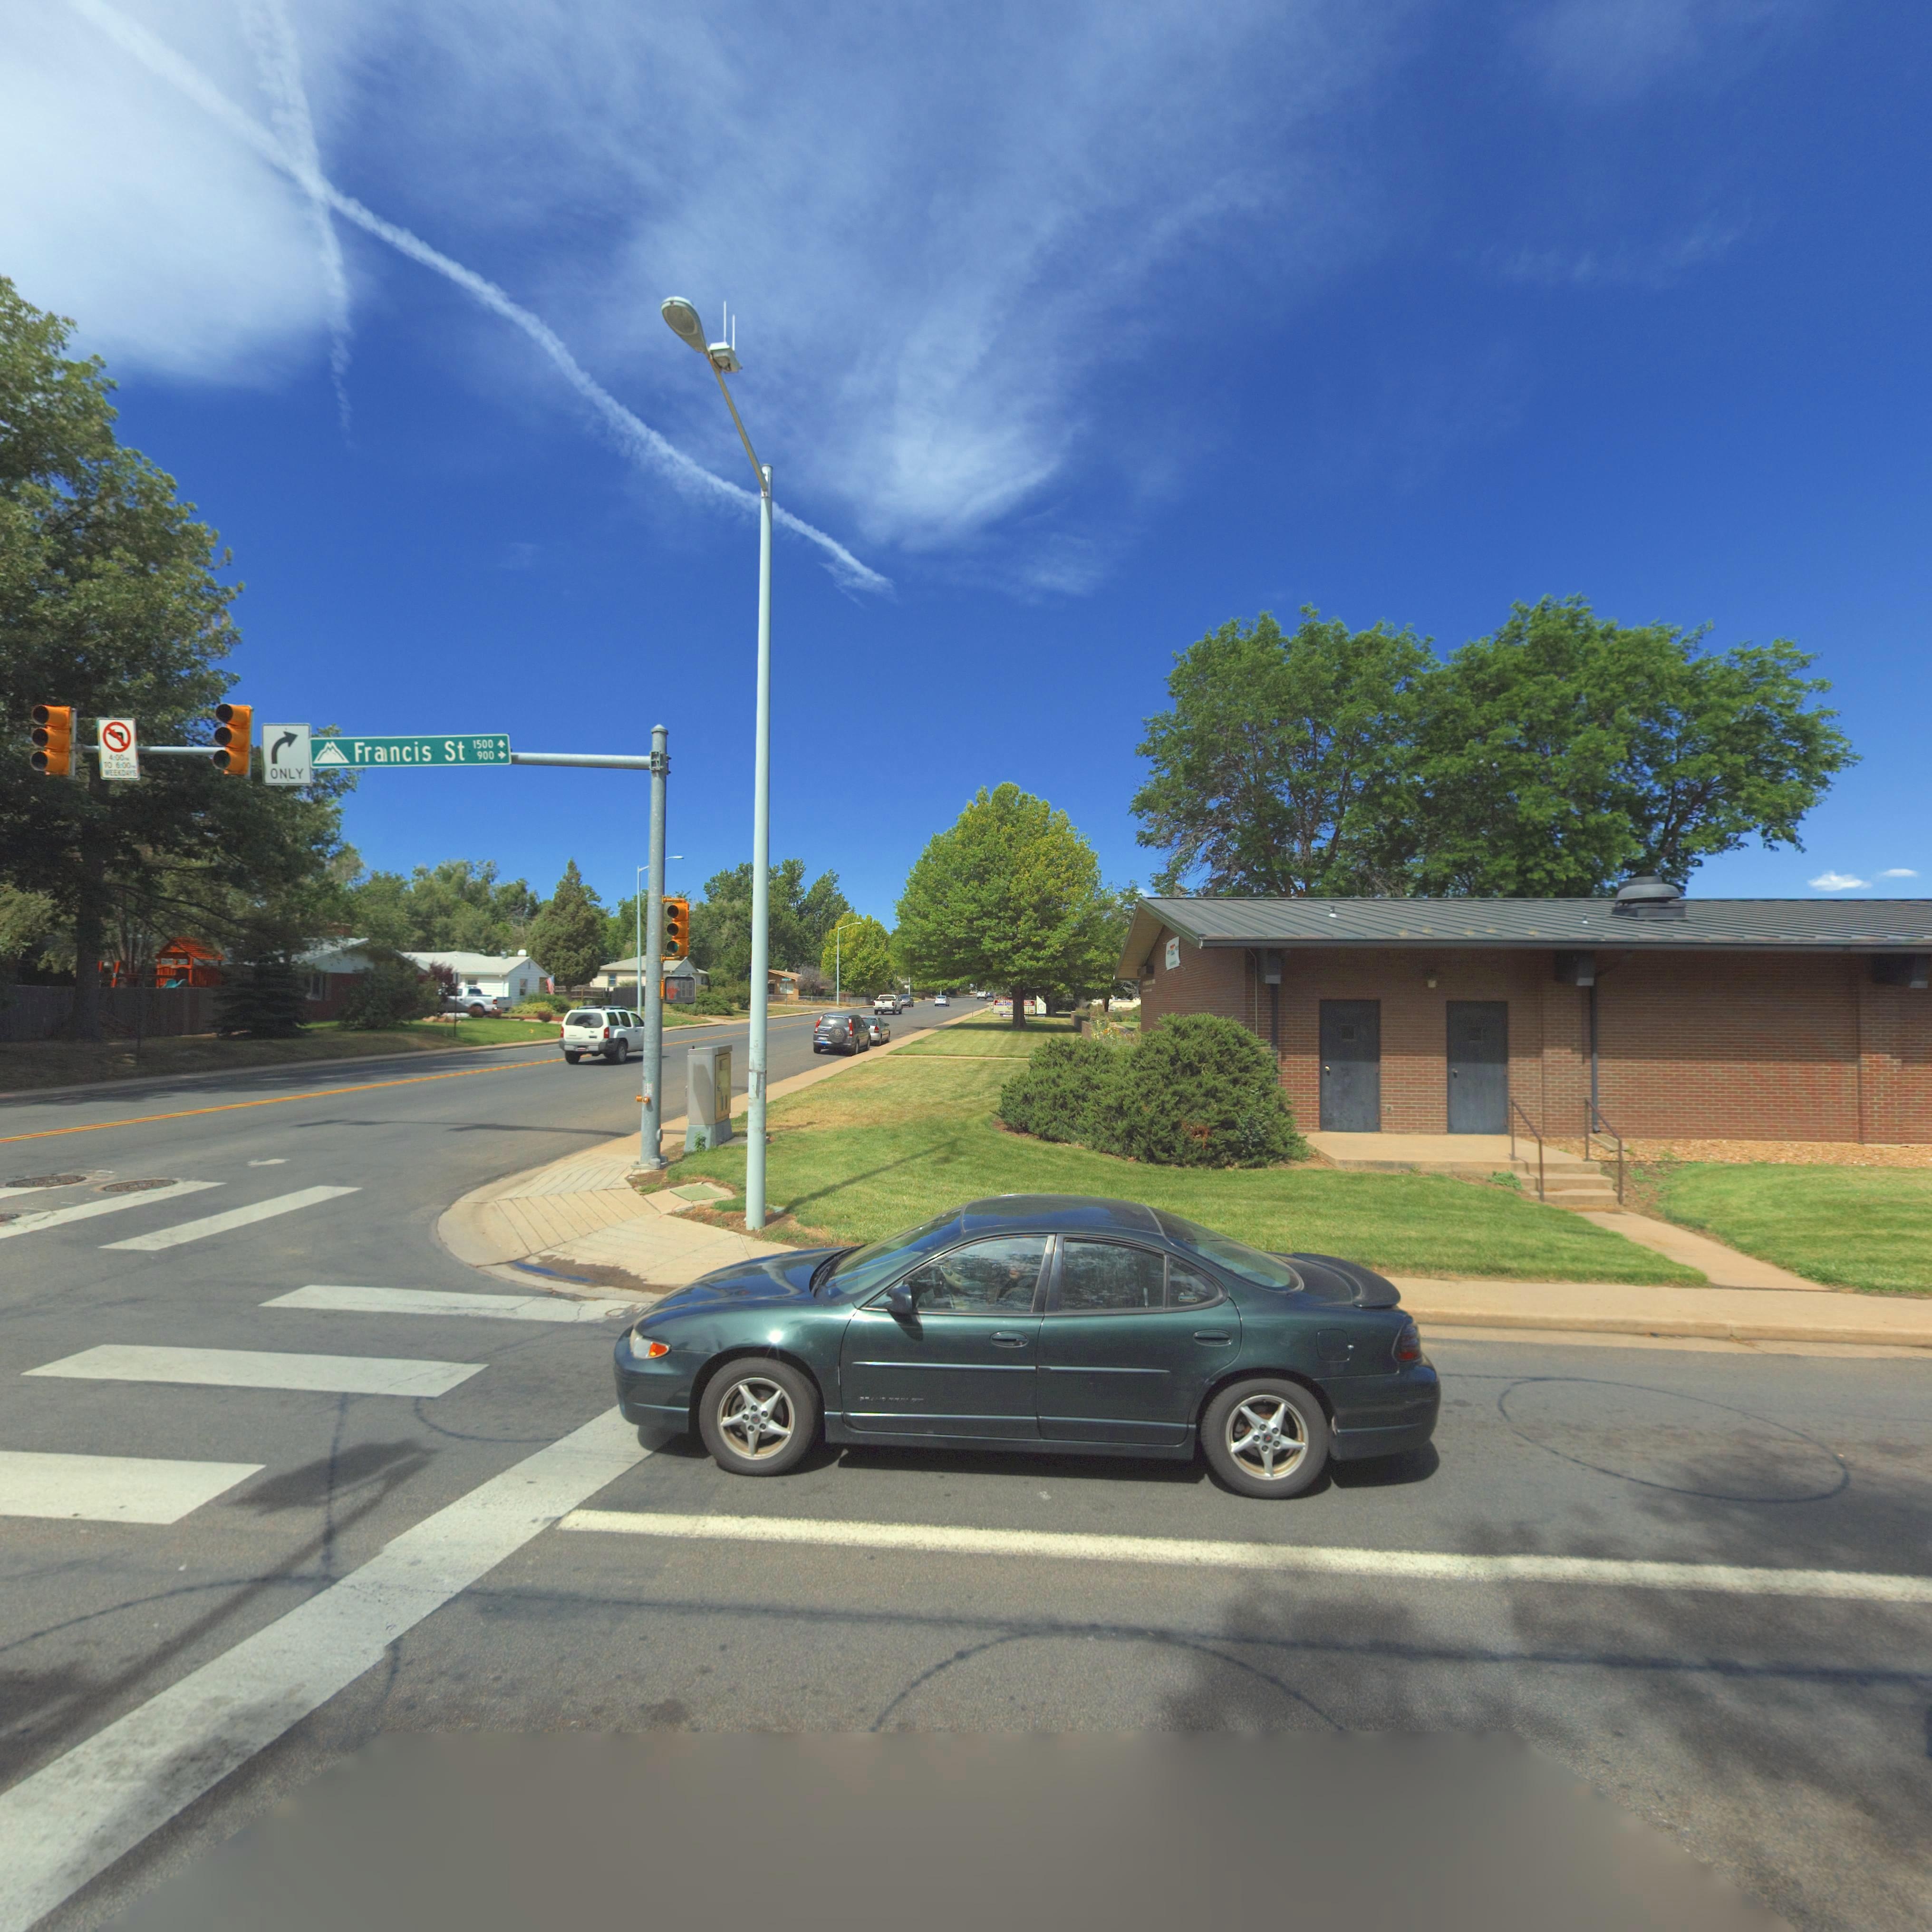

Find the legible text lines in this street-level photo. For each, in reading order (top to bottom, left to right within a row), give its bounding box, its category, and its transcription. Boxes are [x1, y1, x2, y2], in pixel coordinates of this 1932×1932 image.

[472, 739, 493, 749] StreetNumberRange: 1500
[353, 740, 465, 763] StreetName: Fra*ncis St
[476, 750, 507, 760] StreetNumberRange: 900->